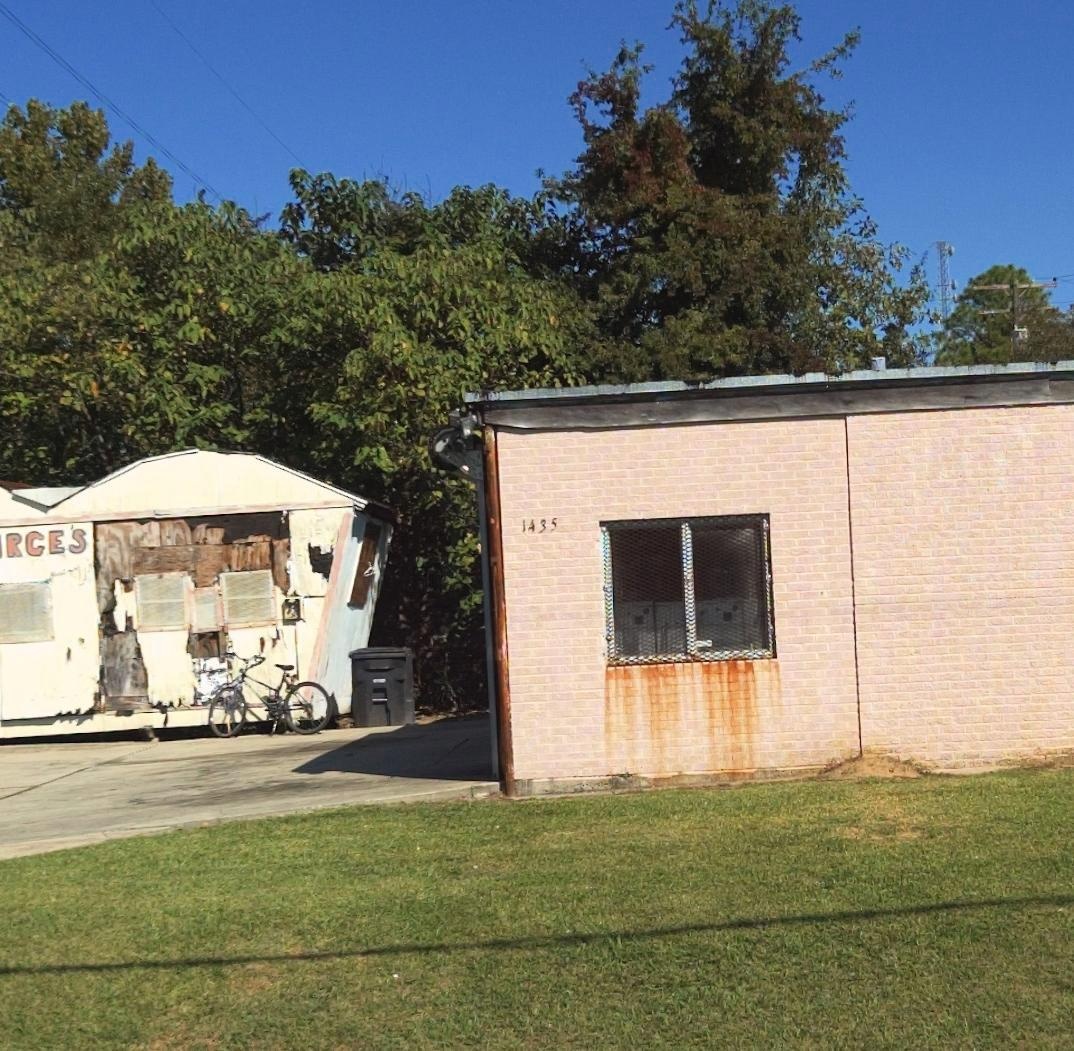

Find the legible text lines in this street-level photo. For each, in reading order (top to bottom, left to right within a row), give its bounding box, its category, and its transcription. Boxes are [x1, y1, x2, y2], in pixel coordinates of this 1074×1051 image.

[4, 522, 88, 560] BusinessName: RCE'S
[519, 515, 560, 536] StreetNumber: 1435